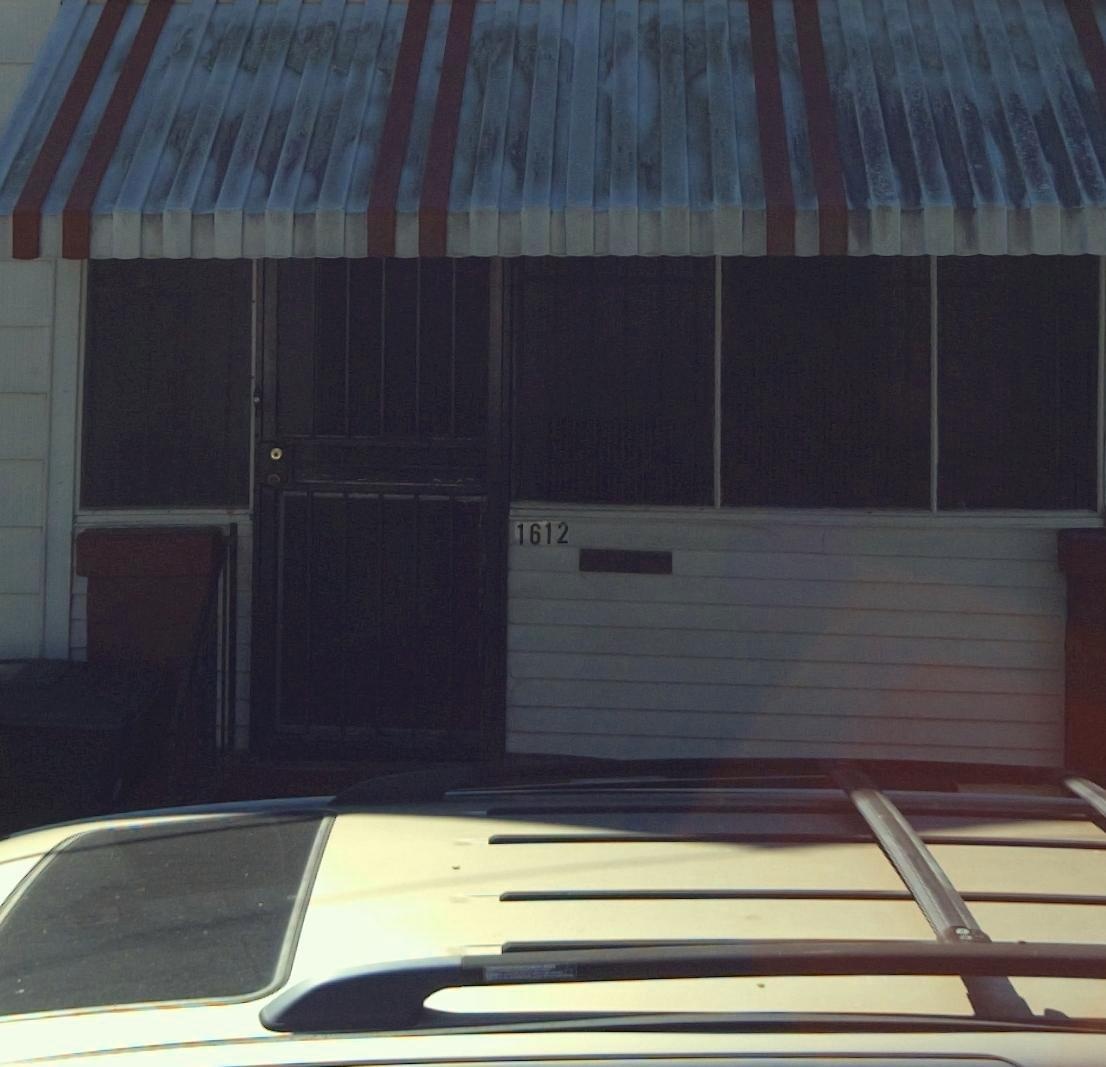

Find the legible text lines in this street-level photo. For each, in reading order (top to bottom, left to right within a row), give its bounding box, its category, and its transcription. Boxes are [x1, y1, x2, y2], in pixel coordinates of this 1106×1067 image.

[514, 518, 571, 547] StreetNumber: 1612